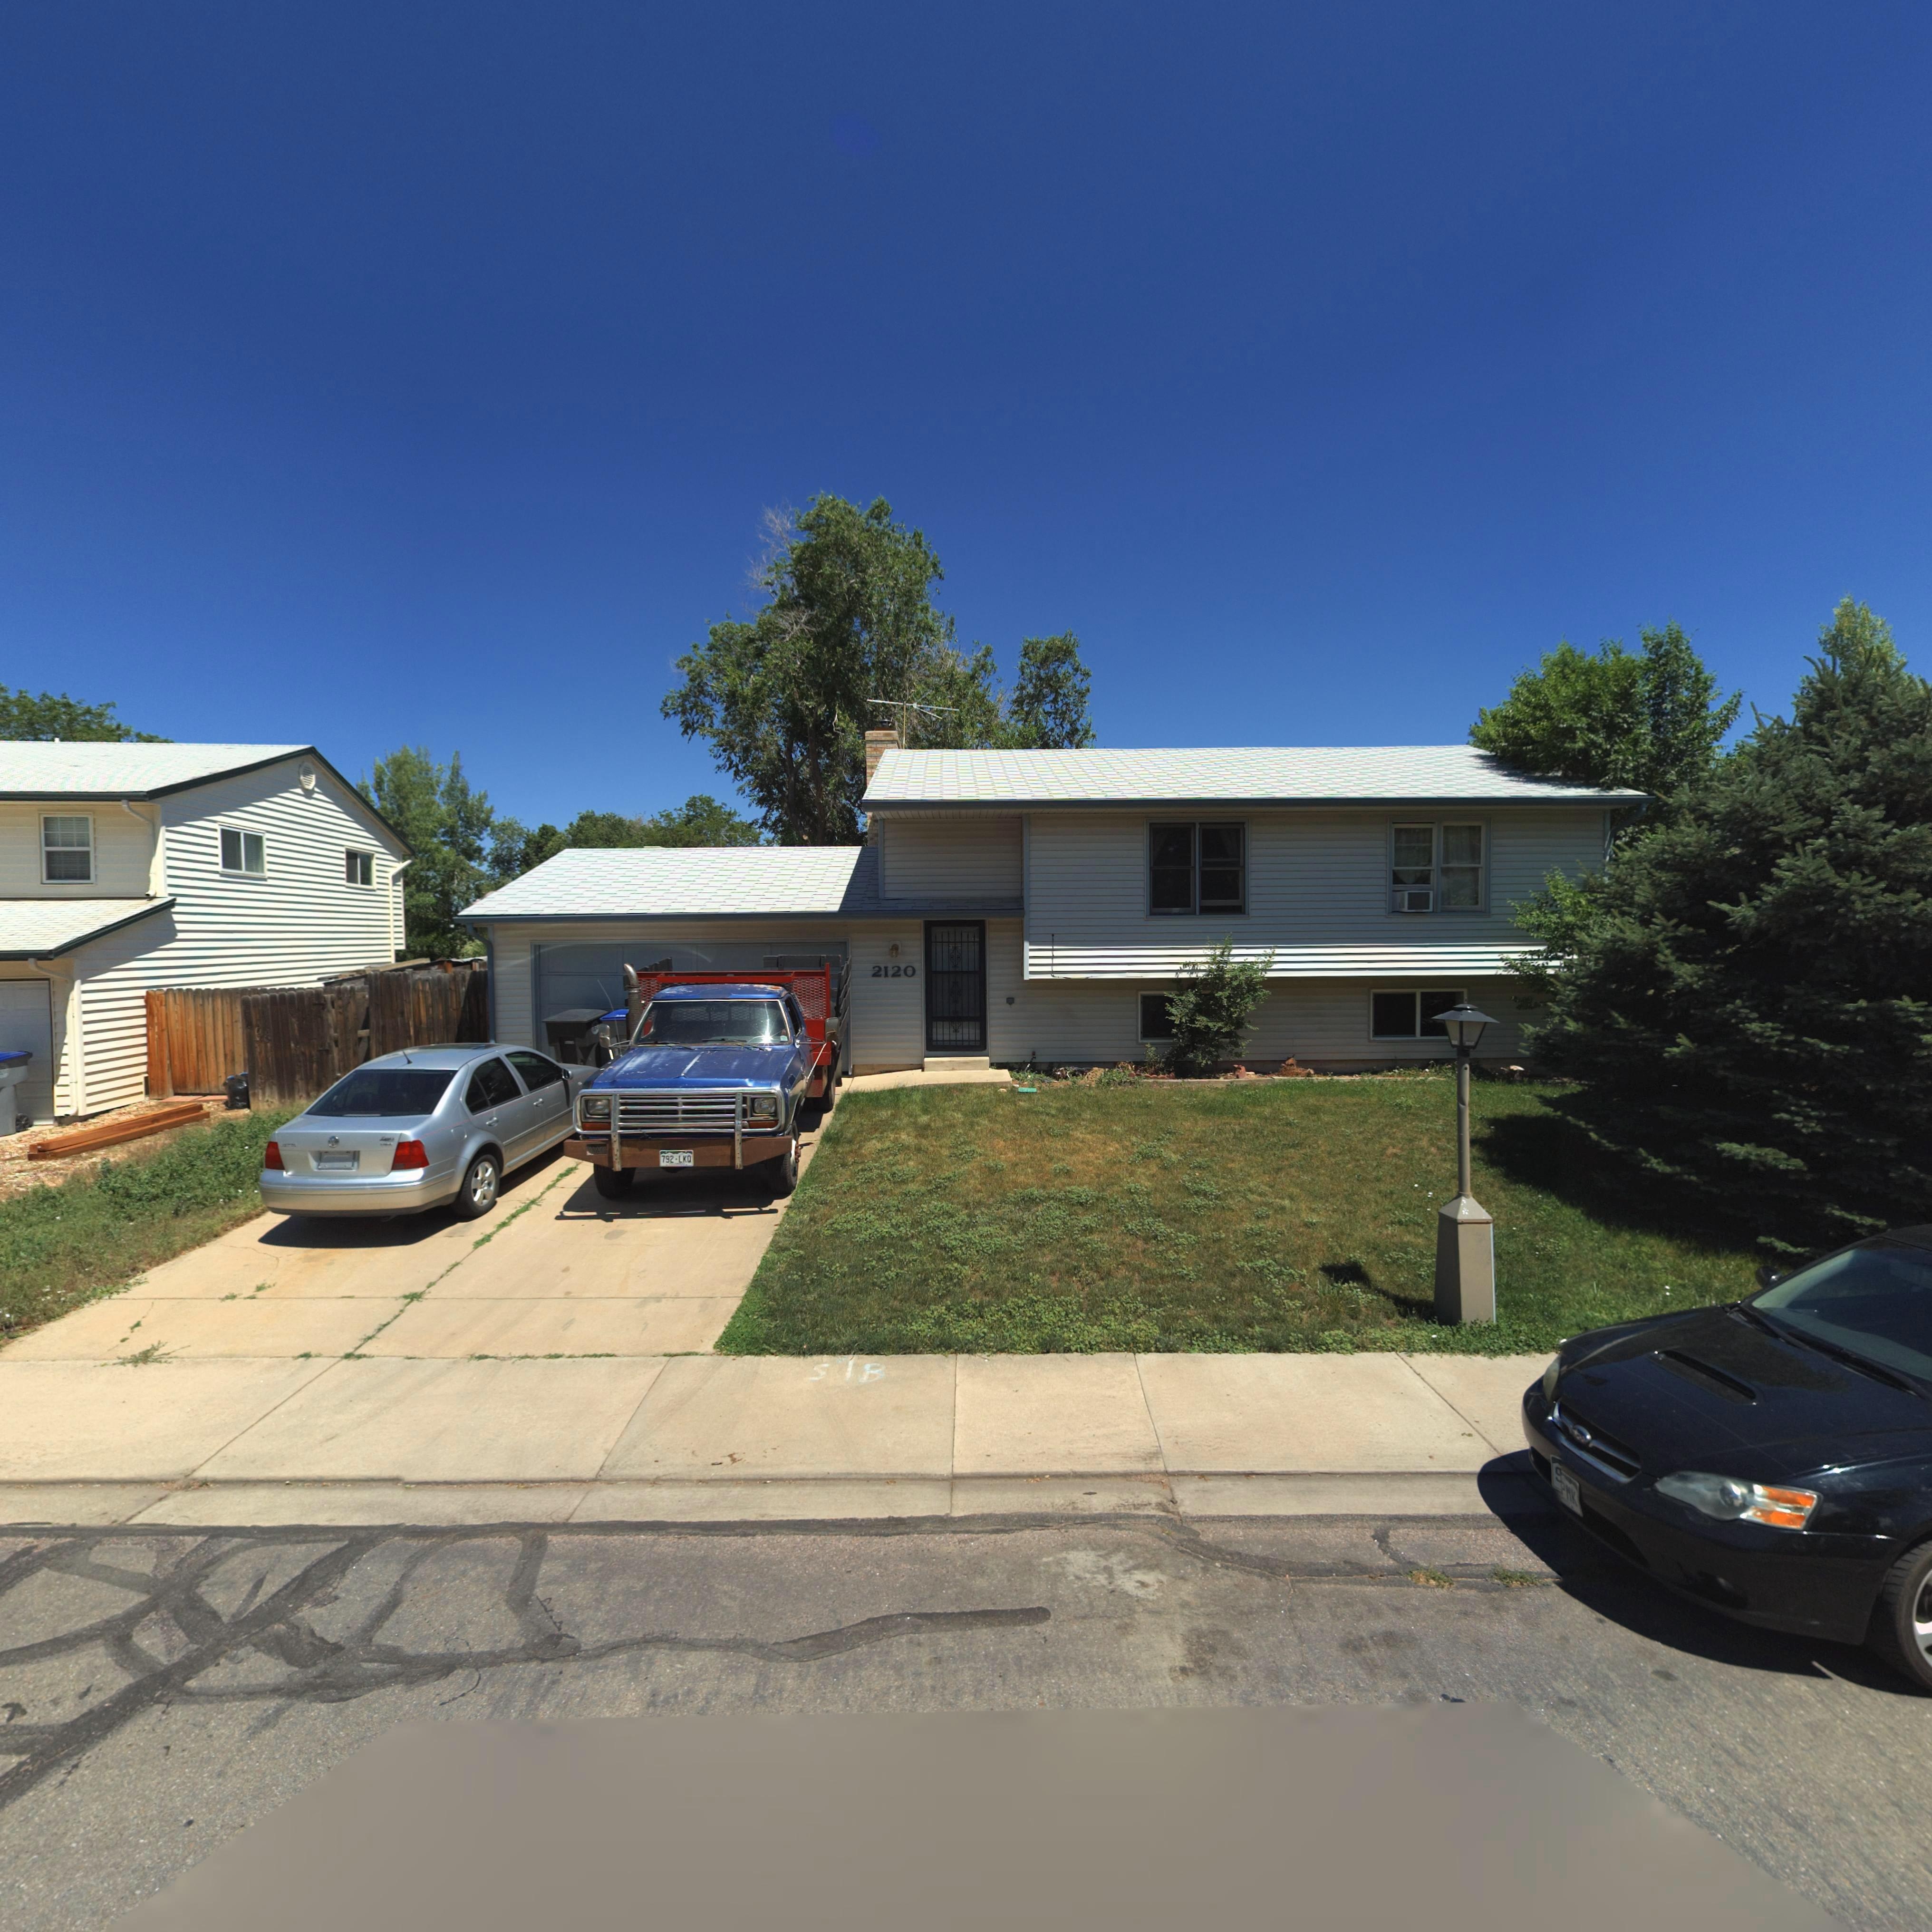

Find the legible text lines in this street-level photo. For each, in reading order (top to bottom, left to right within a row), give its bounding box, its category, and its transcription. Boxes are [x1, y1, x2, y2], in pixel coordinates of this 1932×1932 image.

[870, 963, 918, 979] StreetNumber: 2120